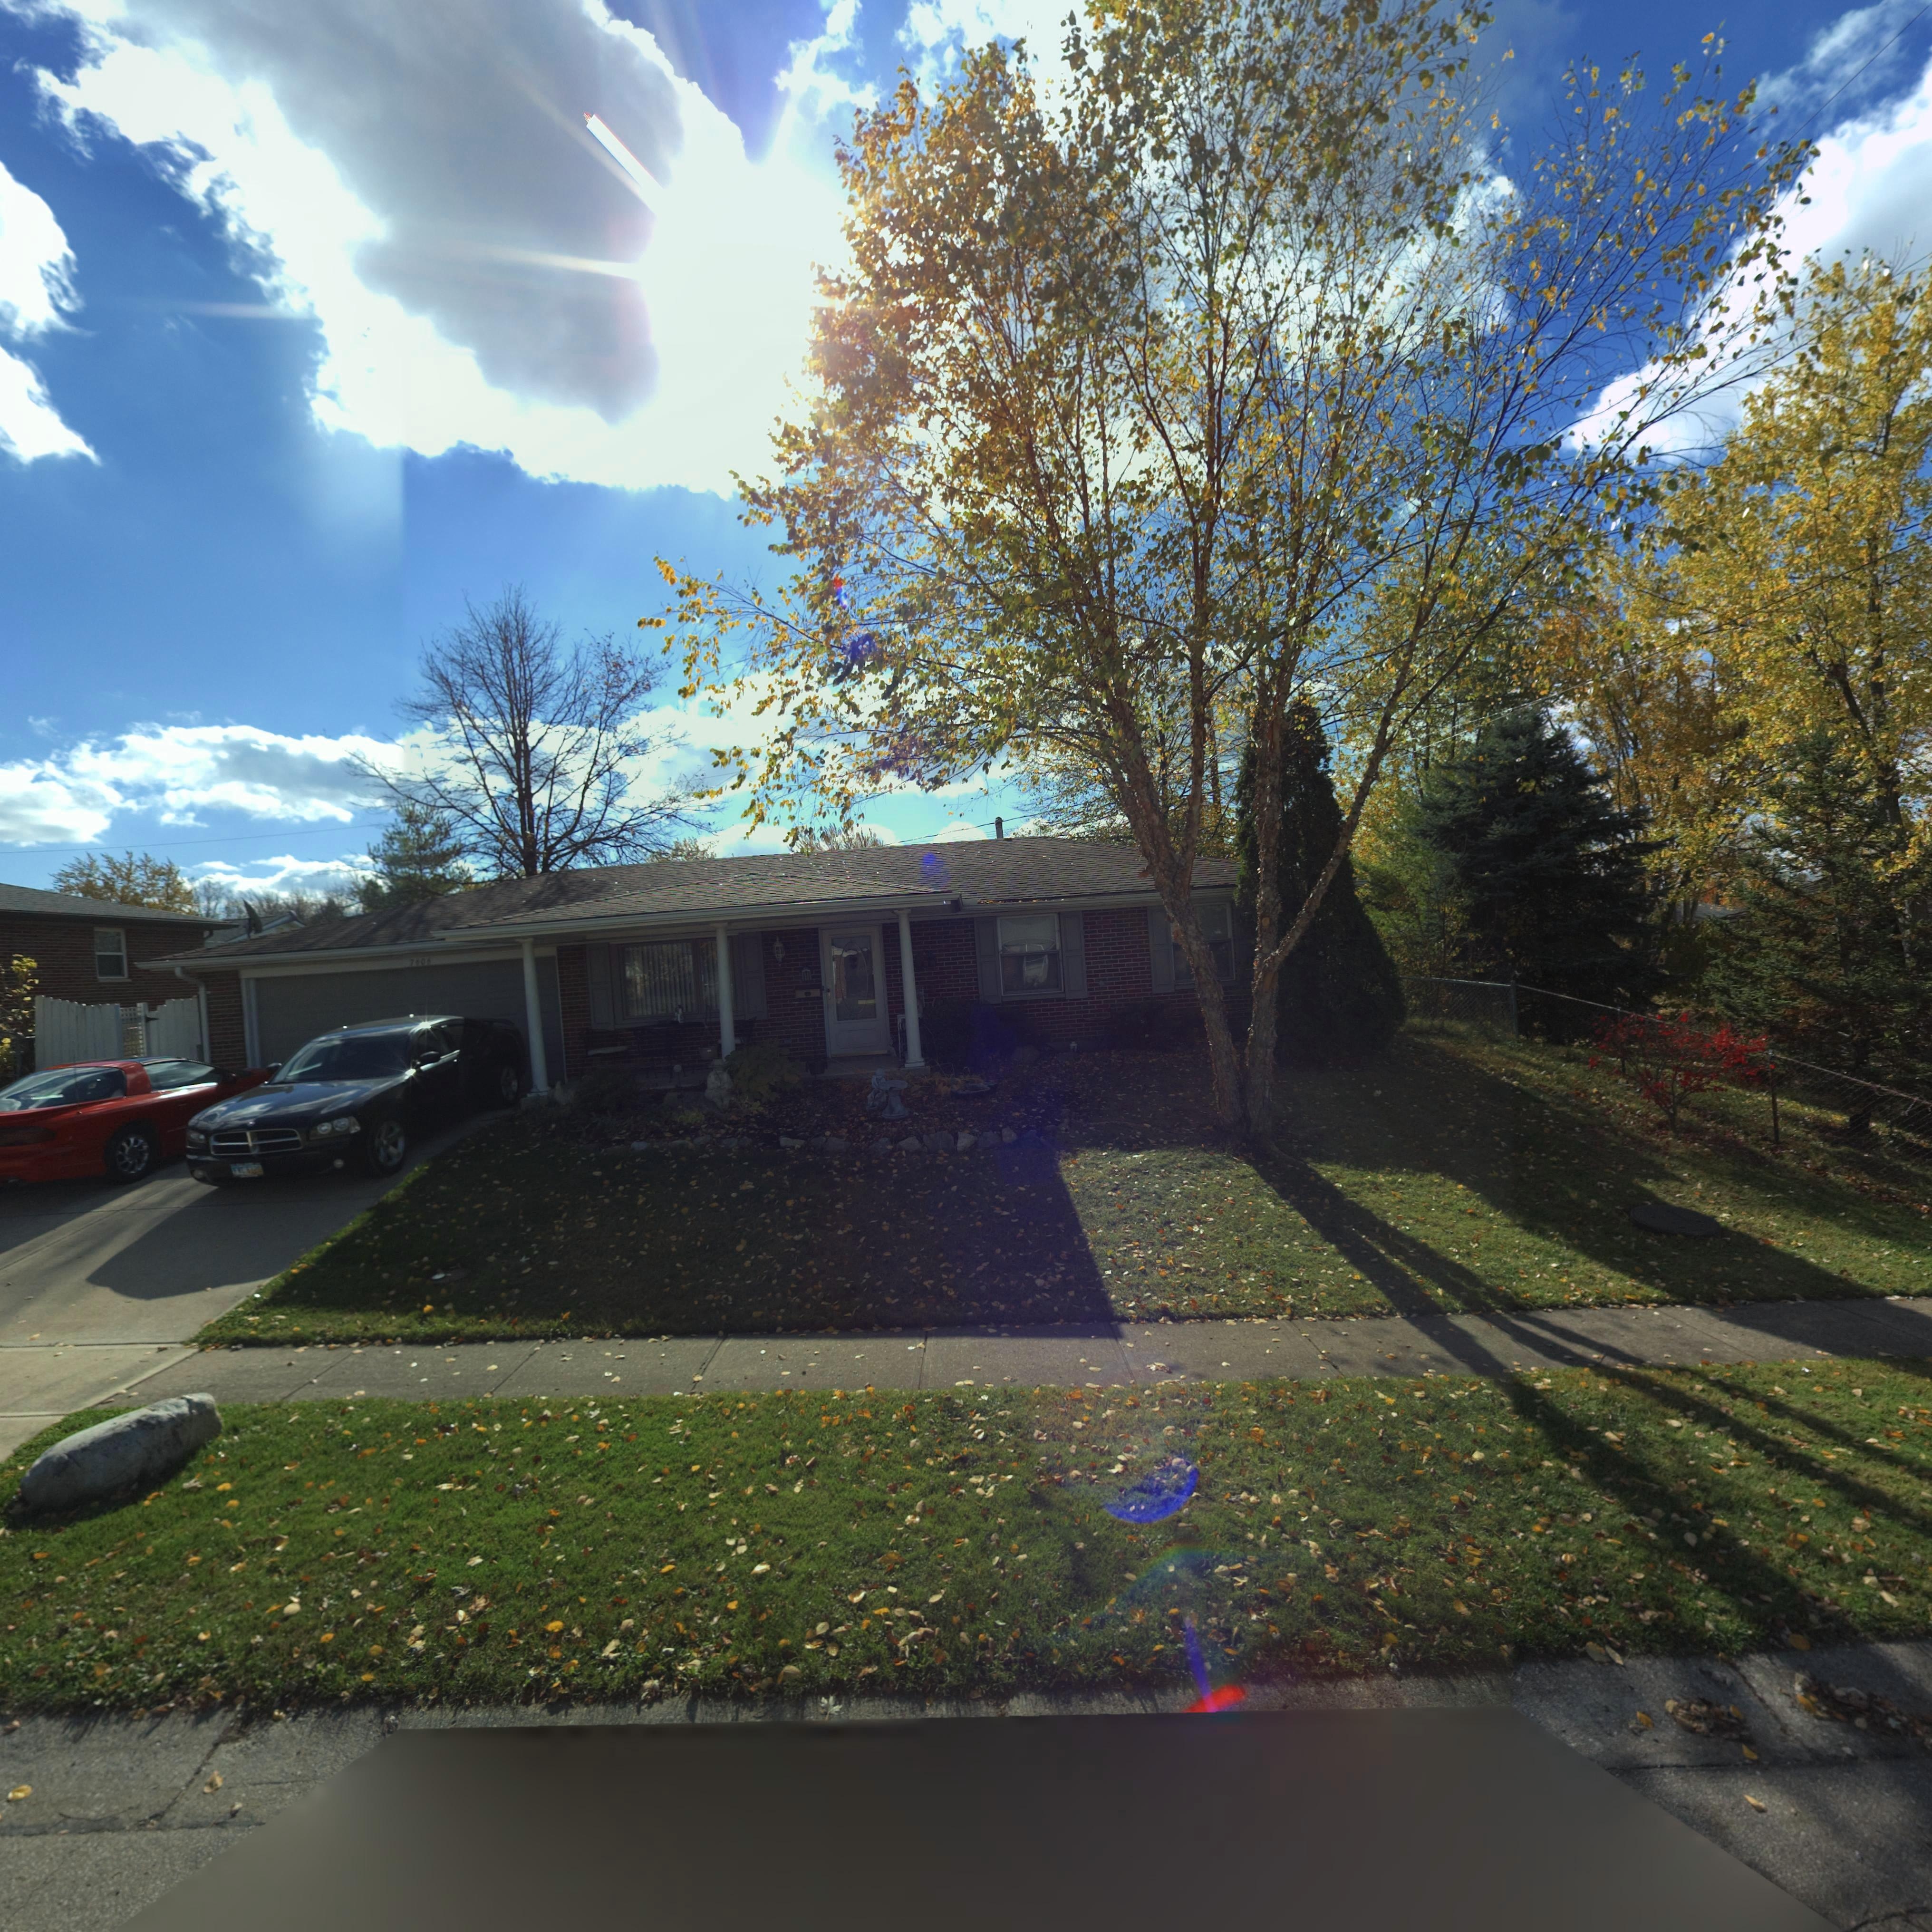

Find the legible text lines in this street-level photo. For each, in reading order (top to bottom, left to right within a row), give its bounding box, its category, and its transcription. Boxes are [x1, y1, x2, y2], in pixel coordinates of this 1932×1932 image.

[409, 956, 432, 967] StreetNumber: 7606